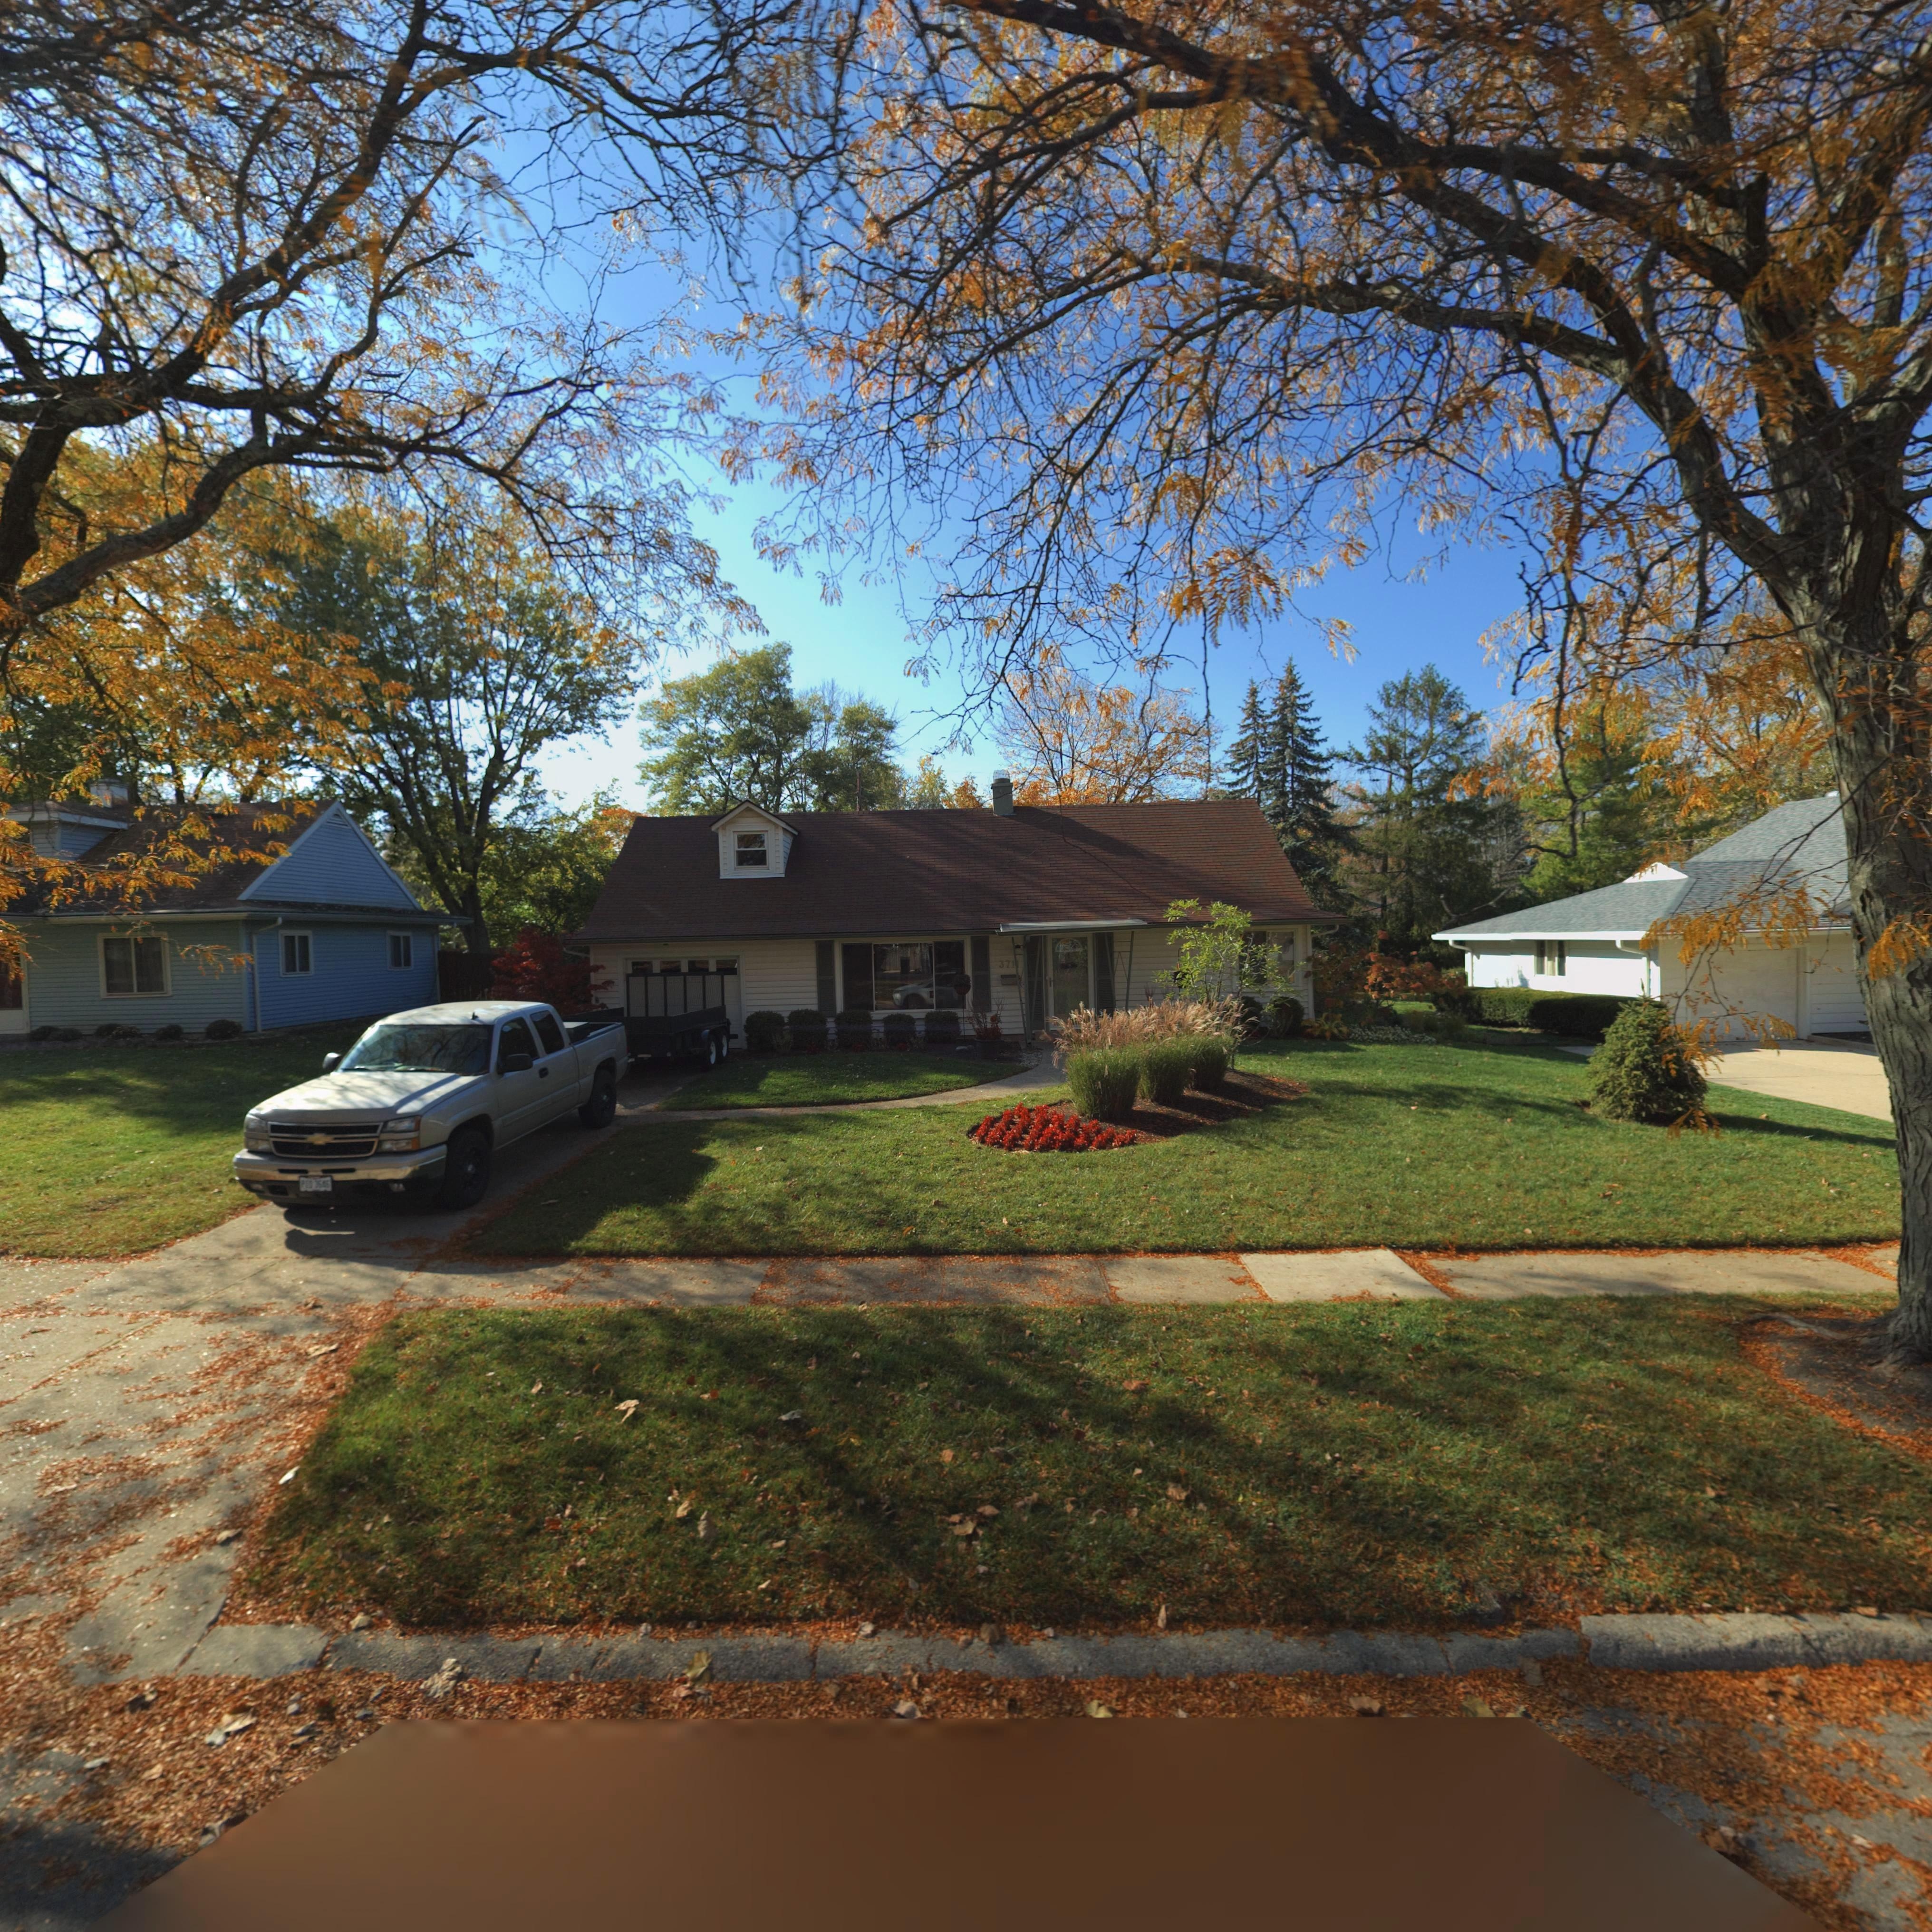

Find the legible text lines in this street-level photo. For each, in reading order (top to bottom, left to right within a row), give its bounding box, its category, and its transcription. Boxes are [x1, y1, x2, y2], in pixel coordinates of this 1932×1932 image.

[998, 960, 1020, 969] StreetNumber: 371*
[299, 1179, 330, 1188] None: P*O*3646